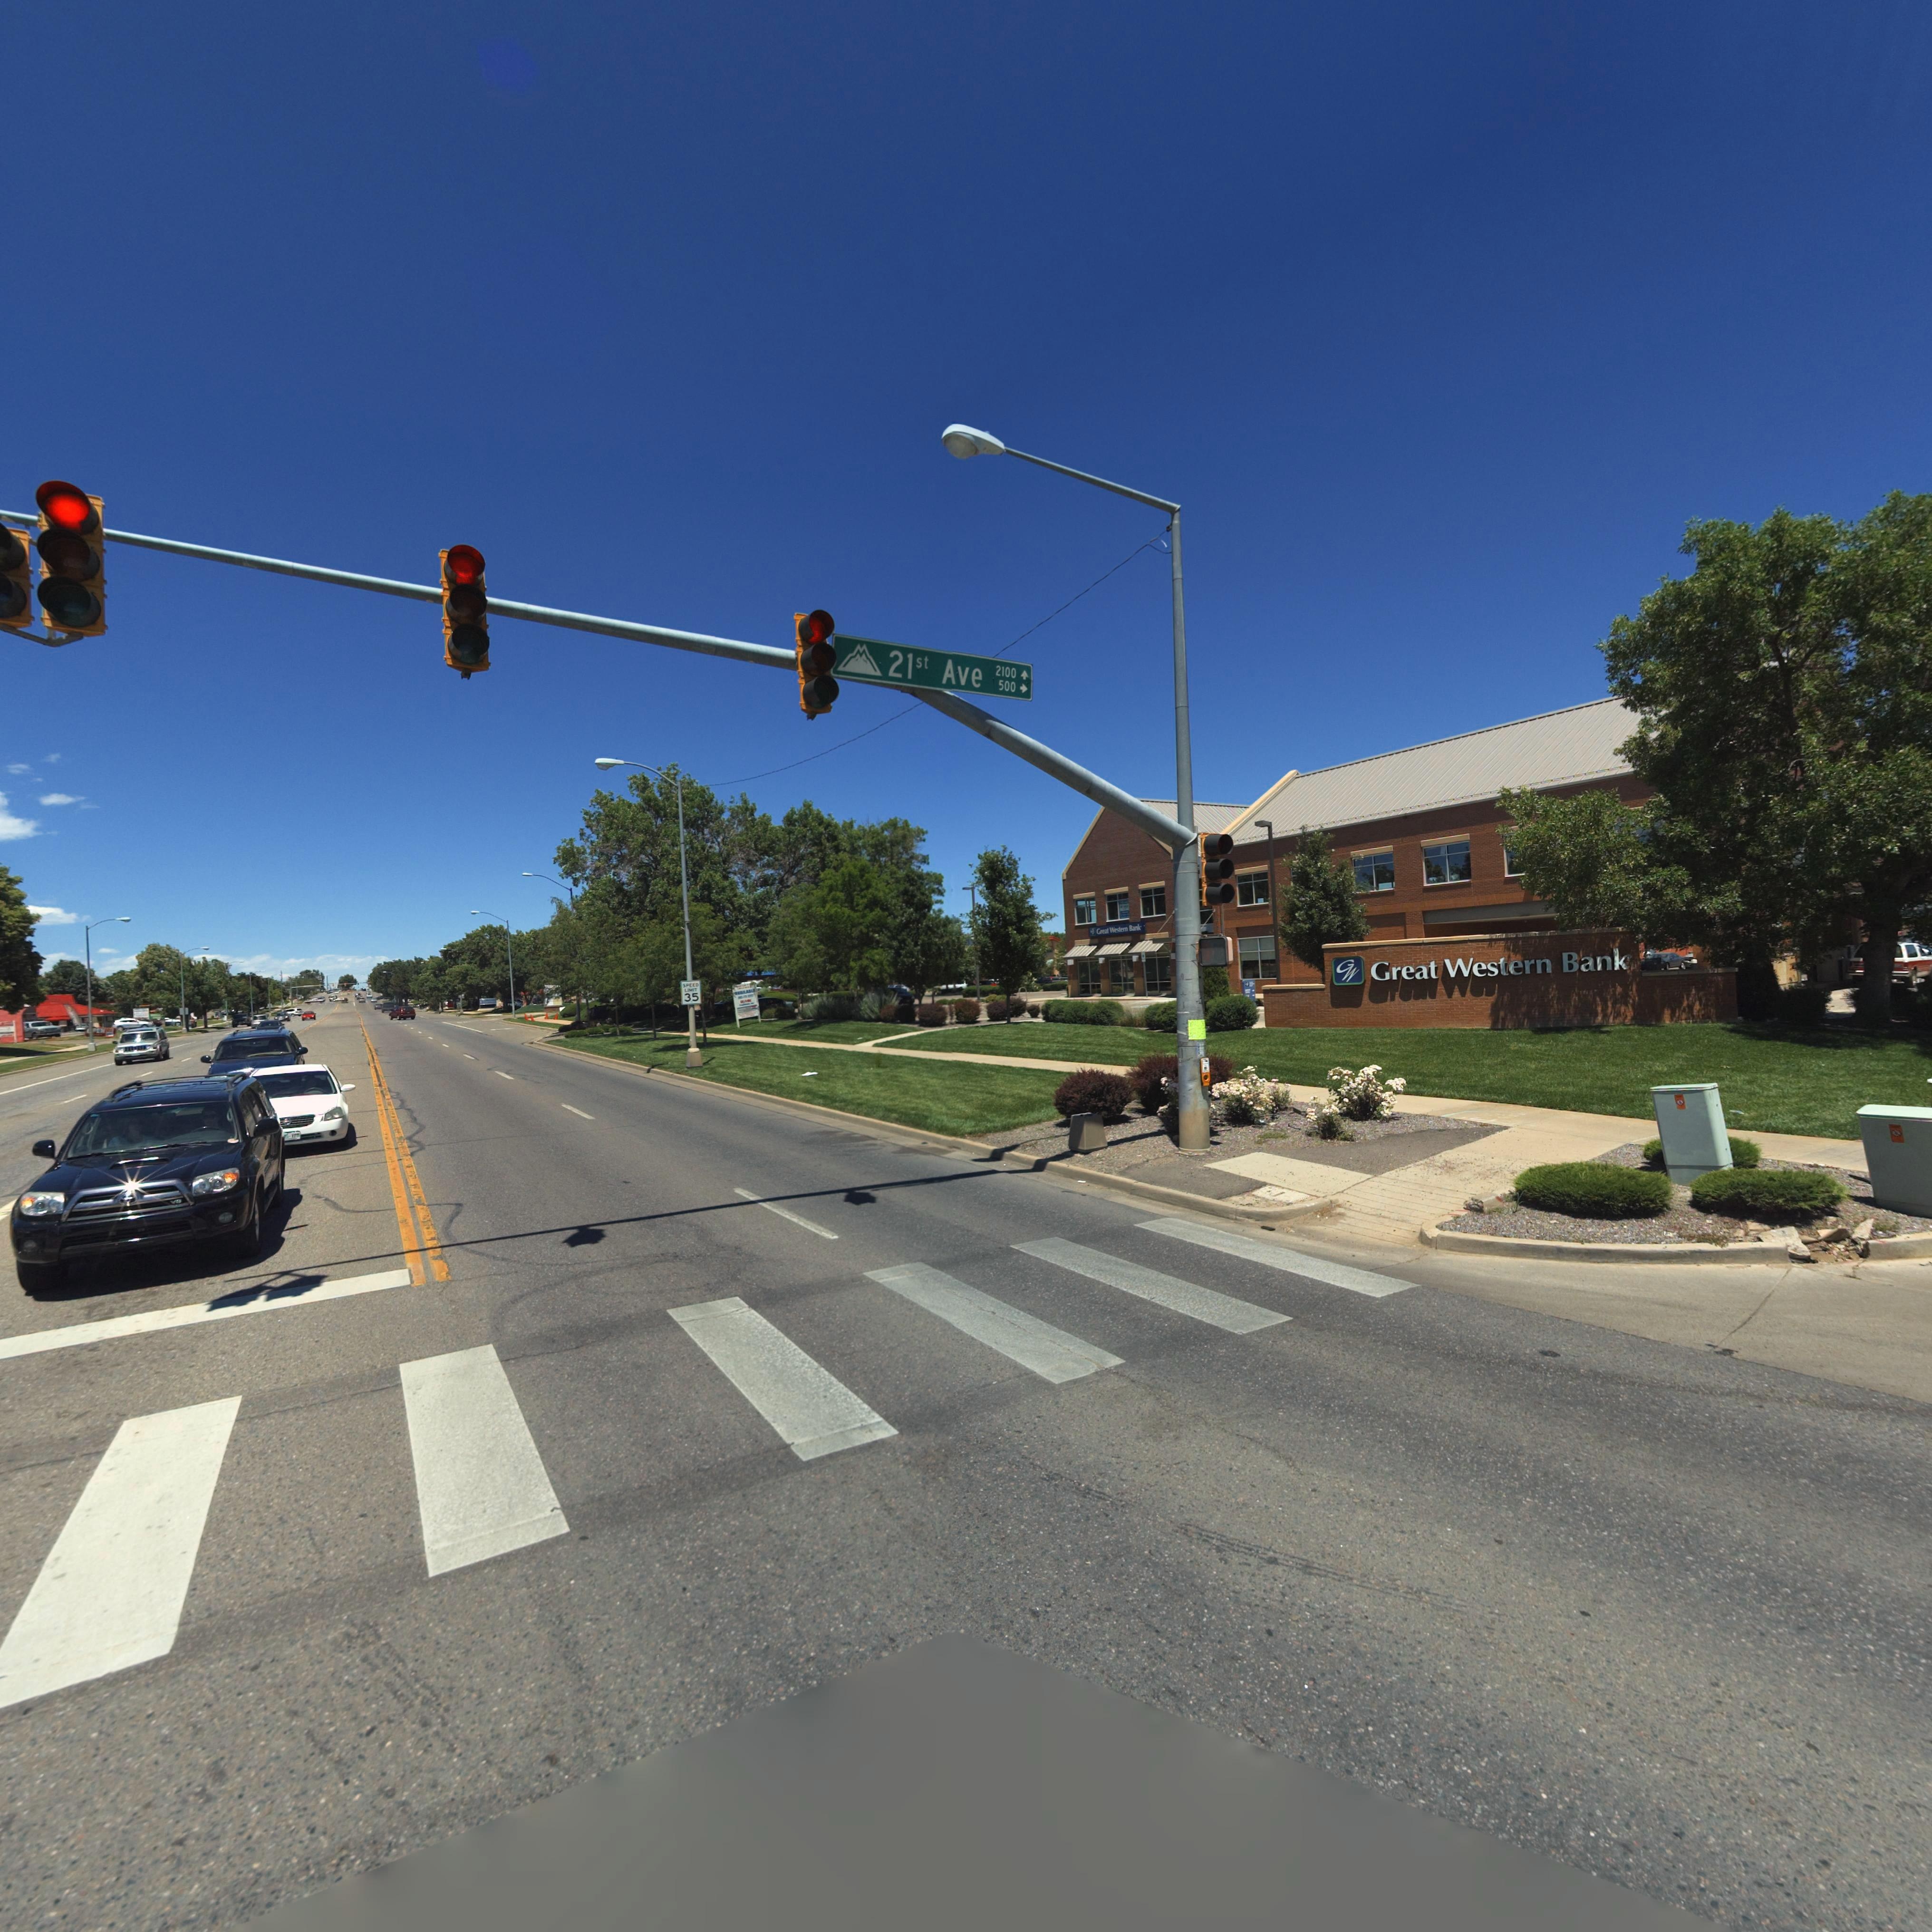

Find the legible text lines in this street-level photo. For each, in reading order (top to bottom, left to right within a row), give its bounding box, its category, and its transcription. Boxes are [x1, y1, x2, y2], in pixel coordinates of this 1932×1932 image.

[888, 649, 982, 688] StreetName: 21st Ave
[995, 664, 1016, 678] StreetNumberRange: 2100
[998, 679, 1028, 694] StreetNumberRange: 500->
[1096, 923, 1142, 934] BusinessName: Great Western Bank
[1370, 947, 1630, 981] BusinessName: Great Western Bank